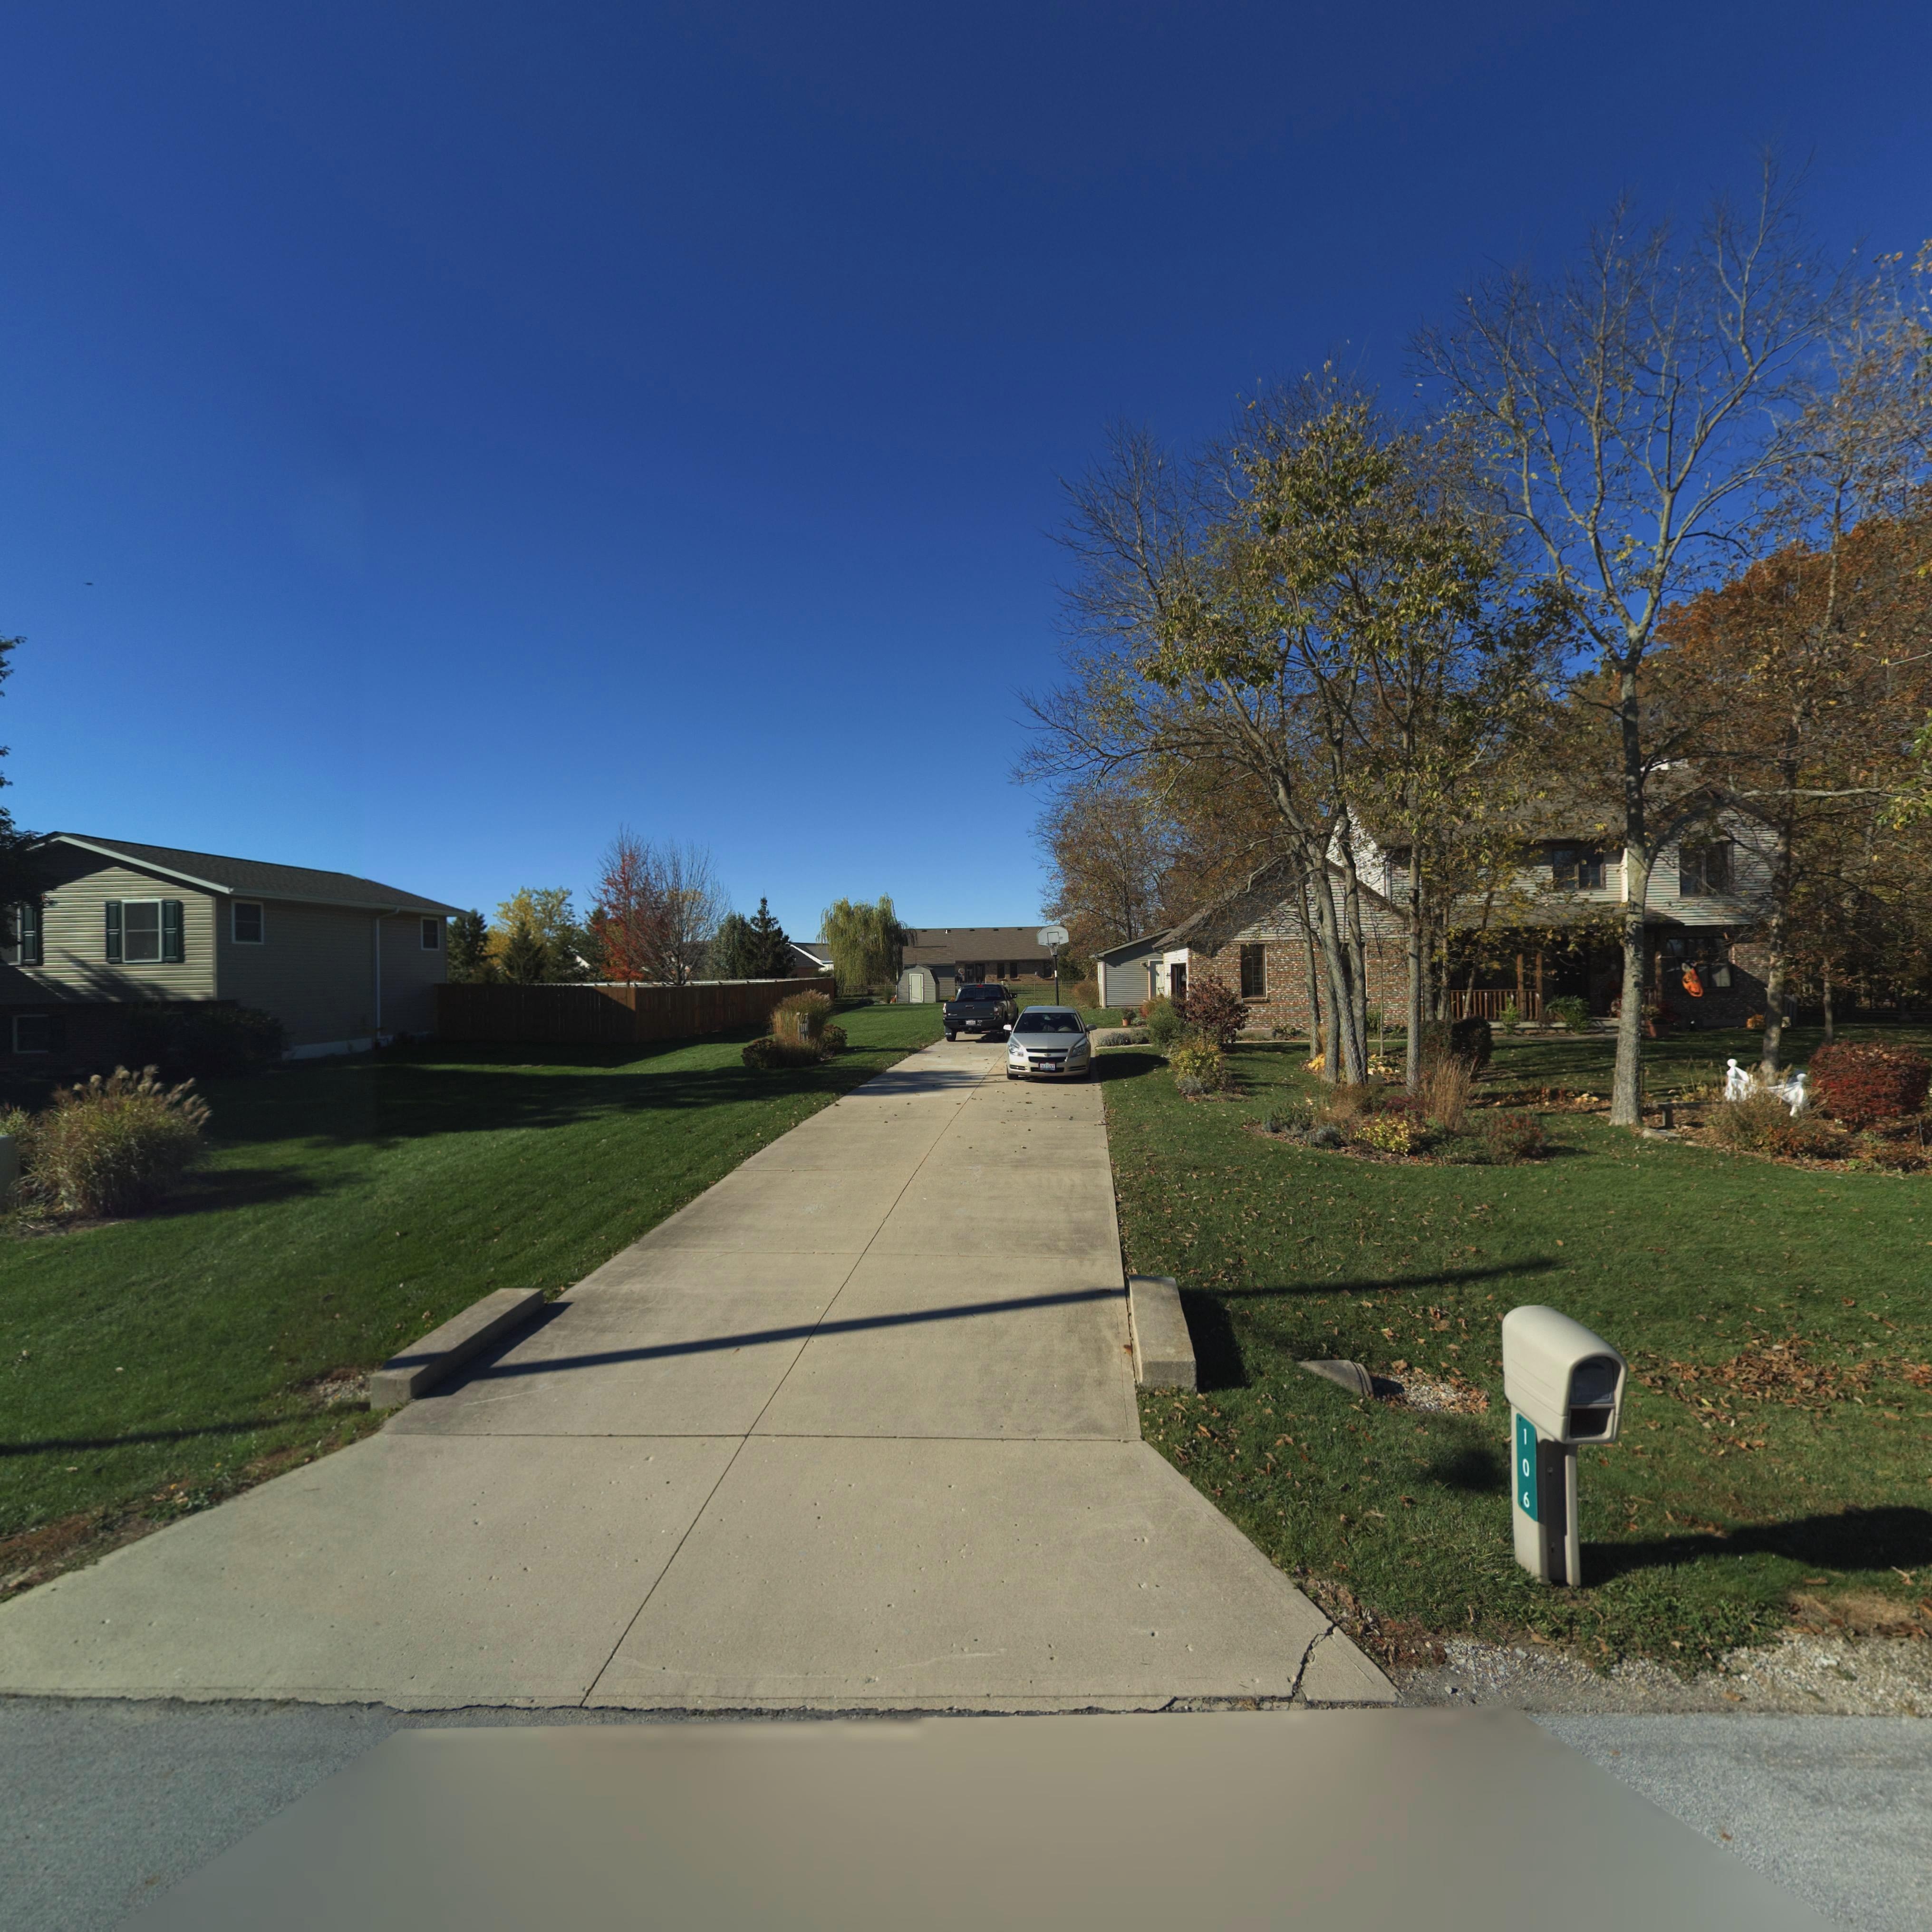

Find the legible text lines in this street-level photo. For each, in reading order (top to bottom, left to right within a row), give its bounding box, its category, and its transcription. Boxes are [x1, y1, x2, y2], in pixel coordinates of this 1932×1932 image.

[1521, 1426, 1531, 1512] StreetNumber: 106